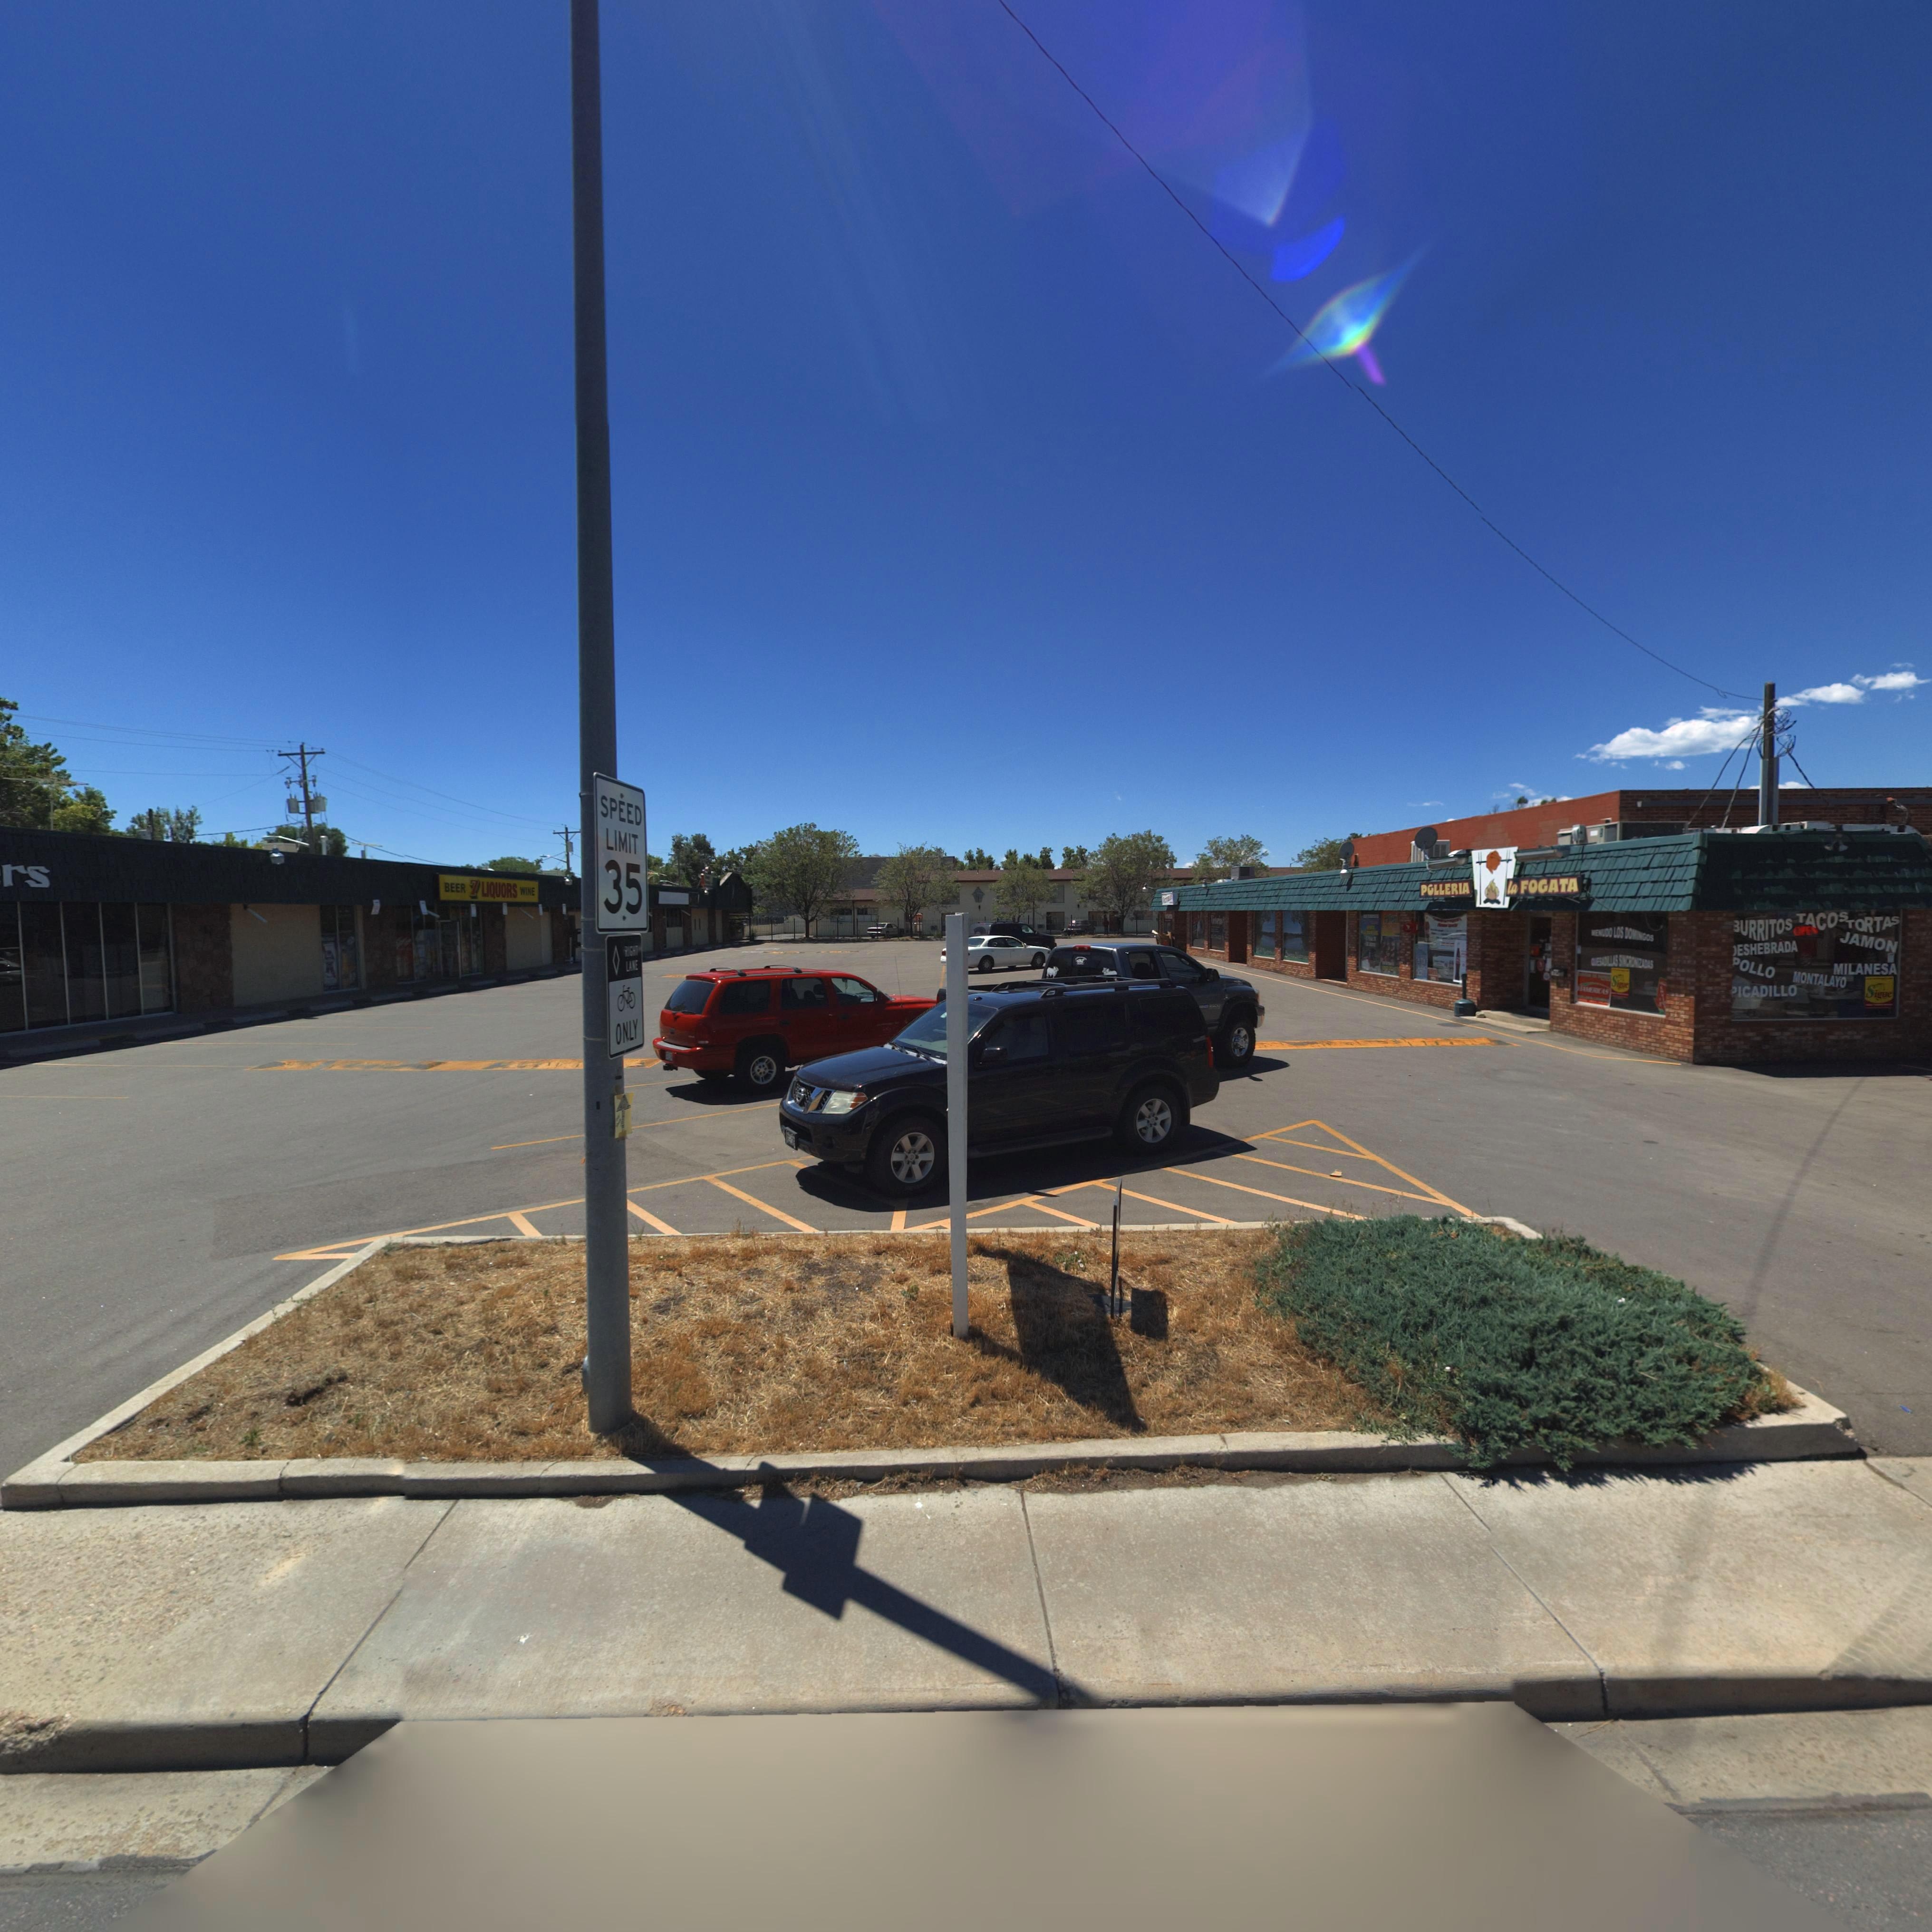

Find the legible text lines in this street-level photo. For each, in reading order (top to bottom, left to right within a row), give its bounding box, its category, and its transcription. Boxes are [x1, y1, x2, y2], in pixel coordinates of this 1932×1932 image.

[0, 862, 52, 889] BusinessName: rs
[469, 879, 518, 899] BusinessName: 7 LIQUORS
[1420, 876, 1580, 897] BusinessName: POLLERIA la FOGATA